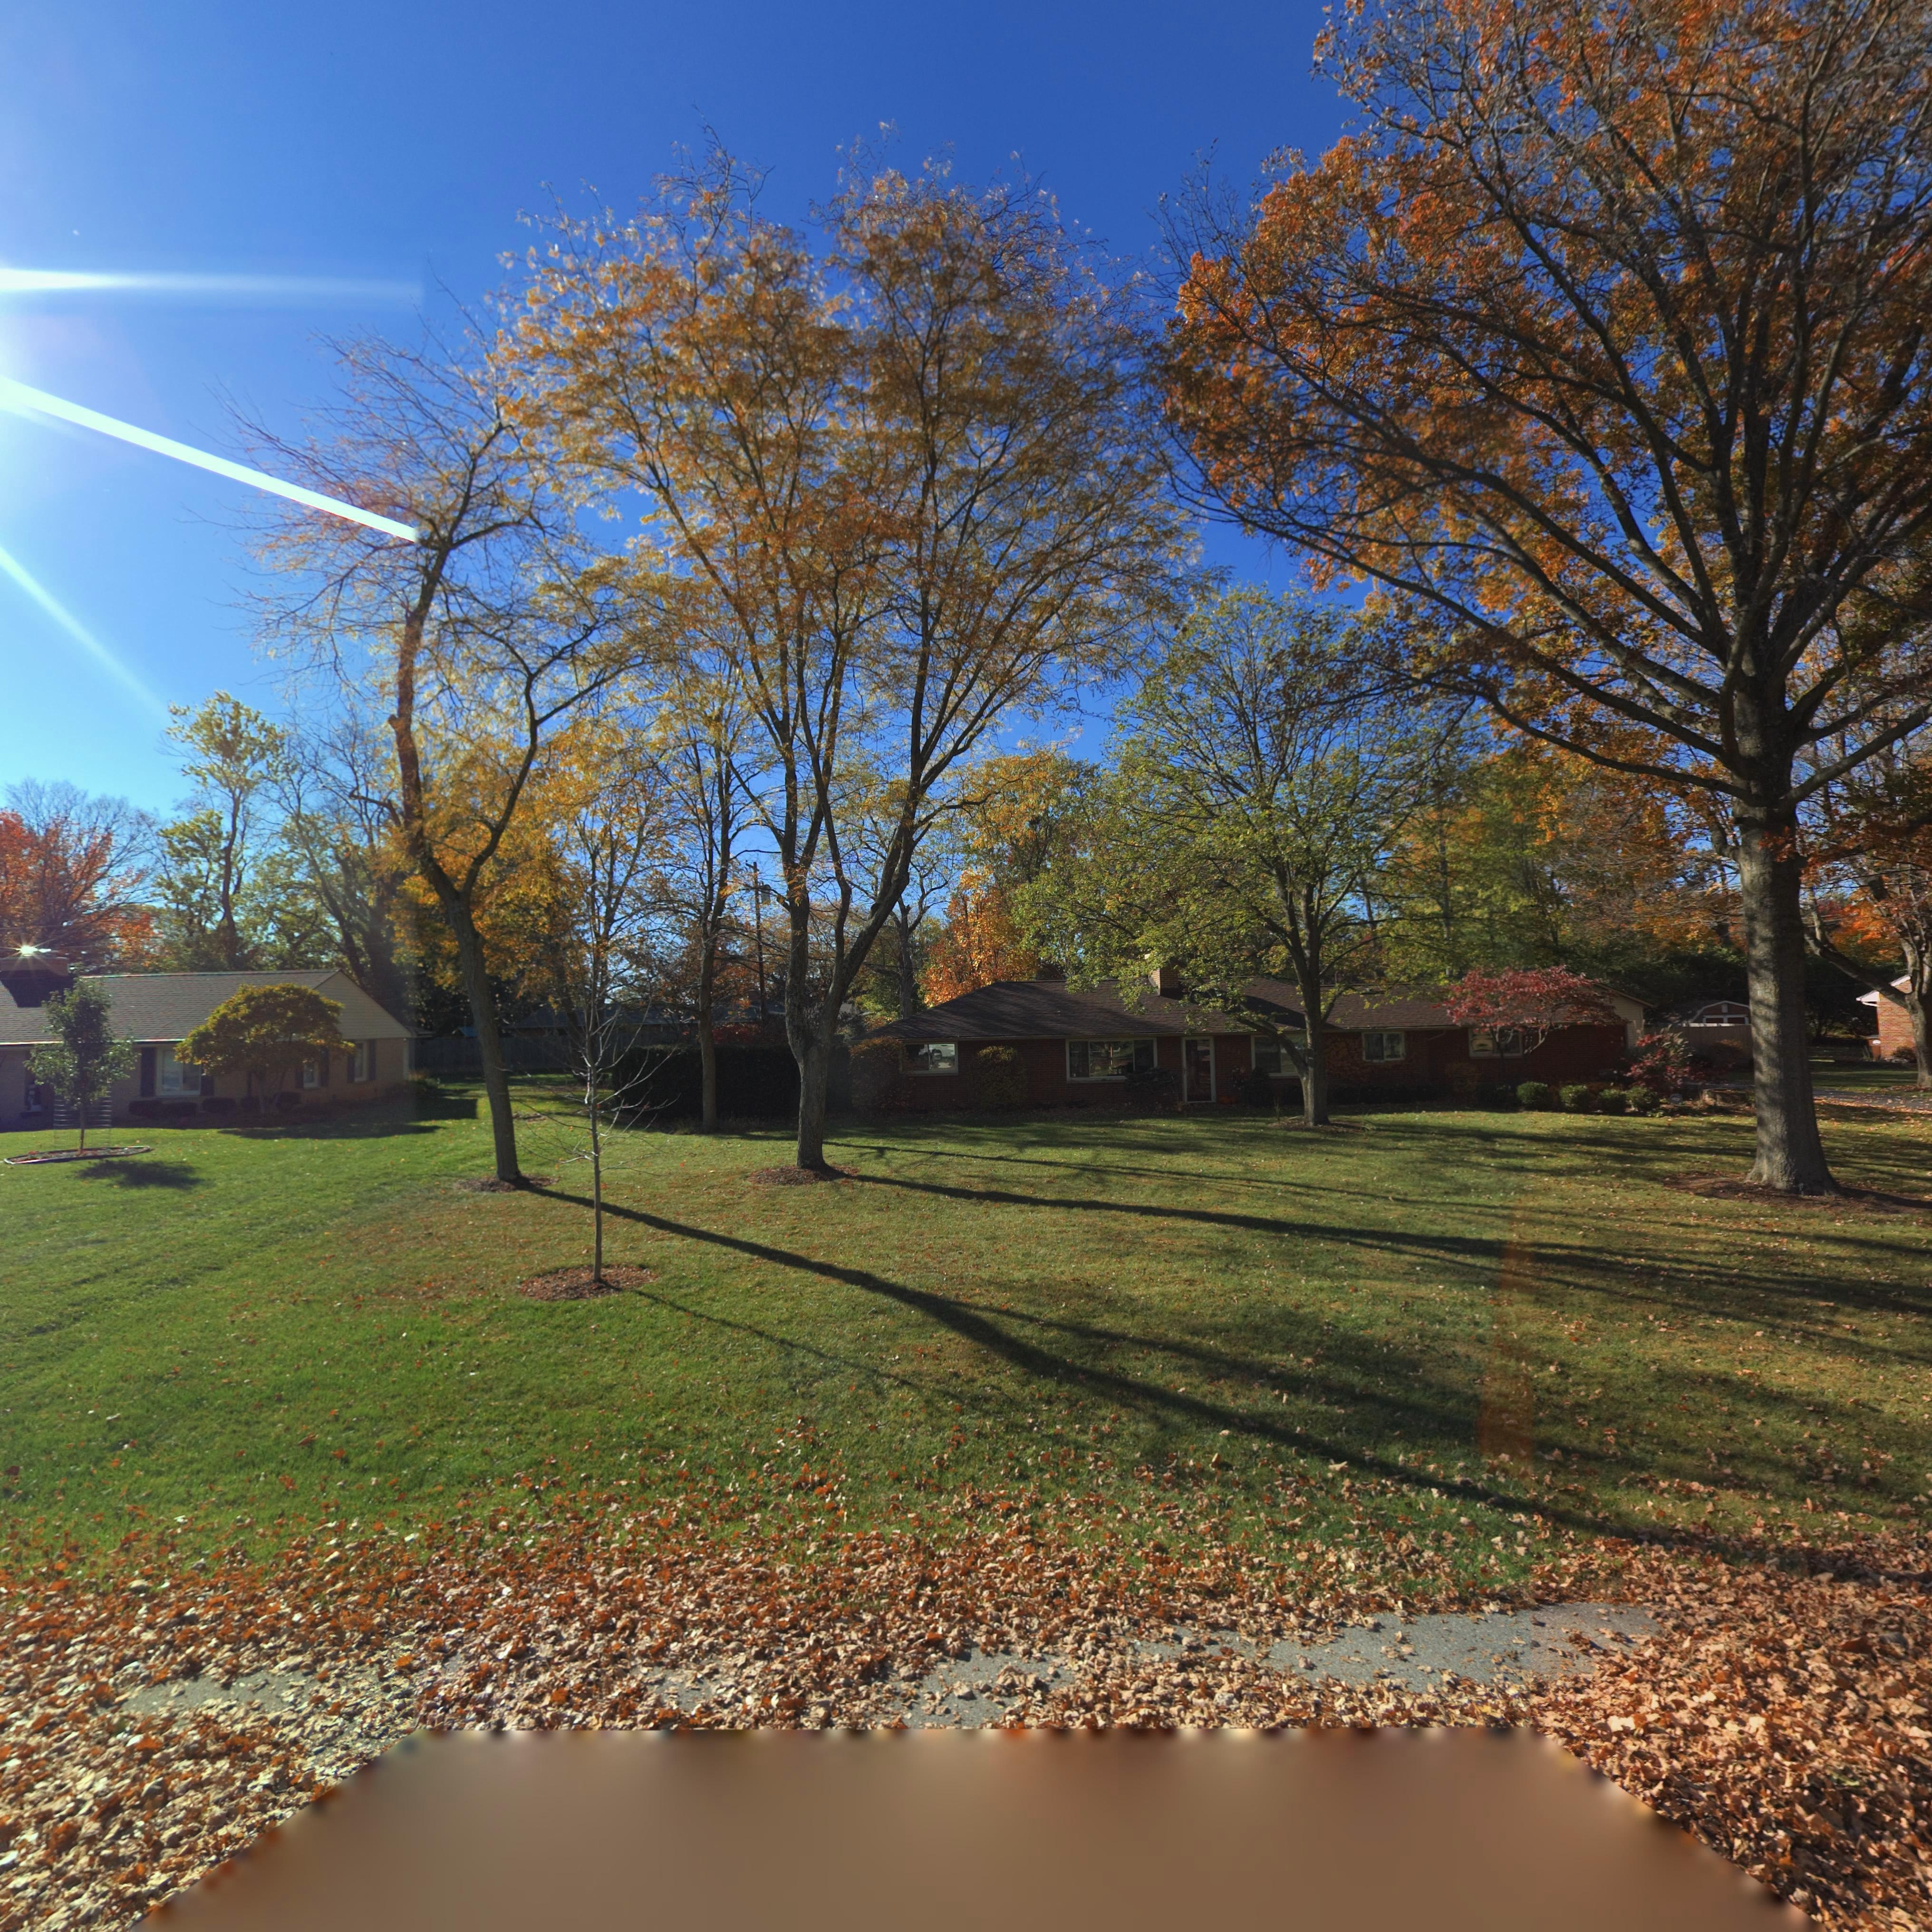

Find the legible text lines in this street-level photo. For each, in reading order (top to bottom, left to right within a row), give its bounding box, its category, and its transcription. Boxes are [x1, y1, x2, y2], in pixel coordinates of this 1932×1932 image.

[1221, 1043, 1241, 1055] StreetNumber: 5607